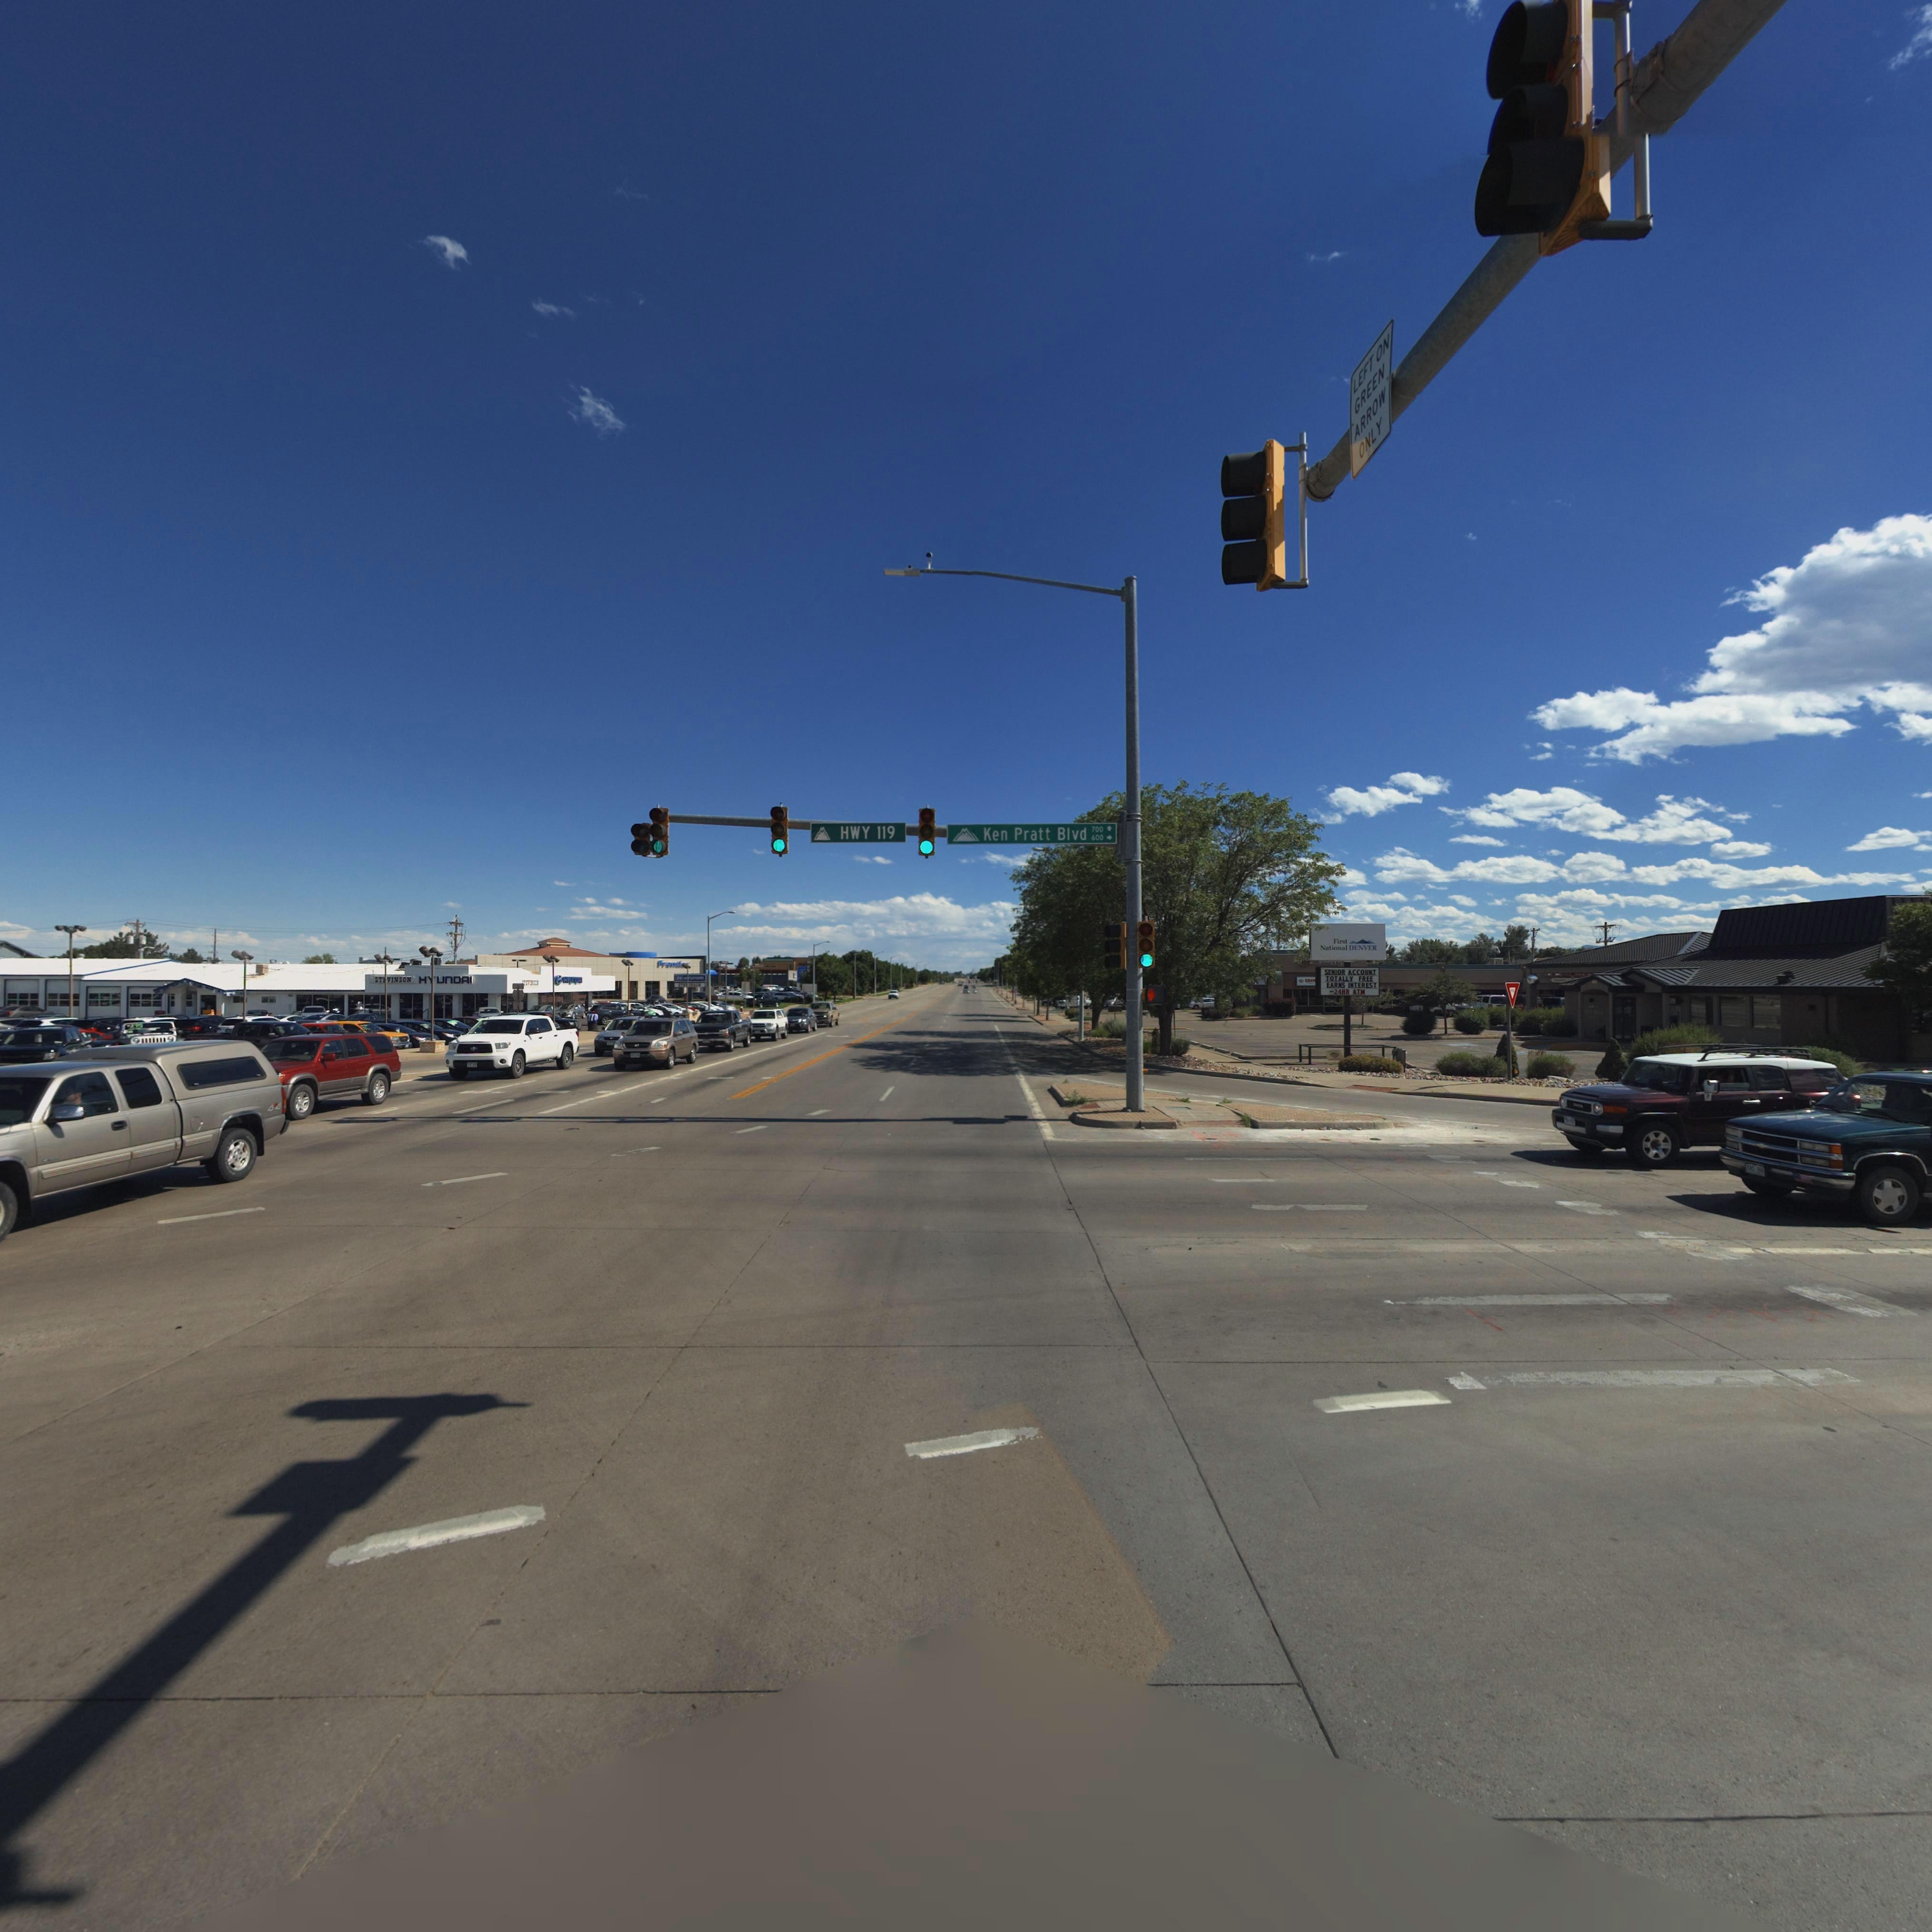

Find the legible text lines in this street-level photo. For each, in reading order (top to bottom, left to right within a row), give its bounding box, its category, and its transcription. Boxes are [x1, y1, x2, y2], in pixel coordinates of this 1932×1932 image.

[840, 824, 897, 840] StreetName: HWY 119
[982, 825, 1088, 841] BusinessName: Ken Pratt Blvd
[1091, 825, 1103, 832] StreetNumberRange: 700
[1091, 834, 1112, 840] StreetNumberRange: 600 ->
[1333, 937, 1348, 944] BusinessName: First
[1320, 944, 1377, 950] BusinessName: National DENVER
[374, 976, 412, 983] BusinessName: ST*VINSON
[418, 975, 473, 984] BusinessName: H*UnDAI
[522, 980, 539, 986] BusinessName: *TE******
[563, 977, 582, 983] BusinessName: HYUn*AI
[677, 983, 701, 987] BusinessName: ST*****ON
[684, 976, 704, 980] BusinessName: H*U**A*